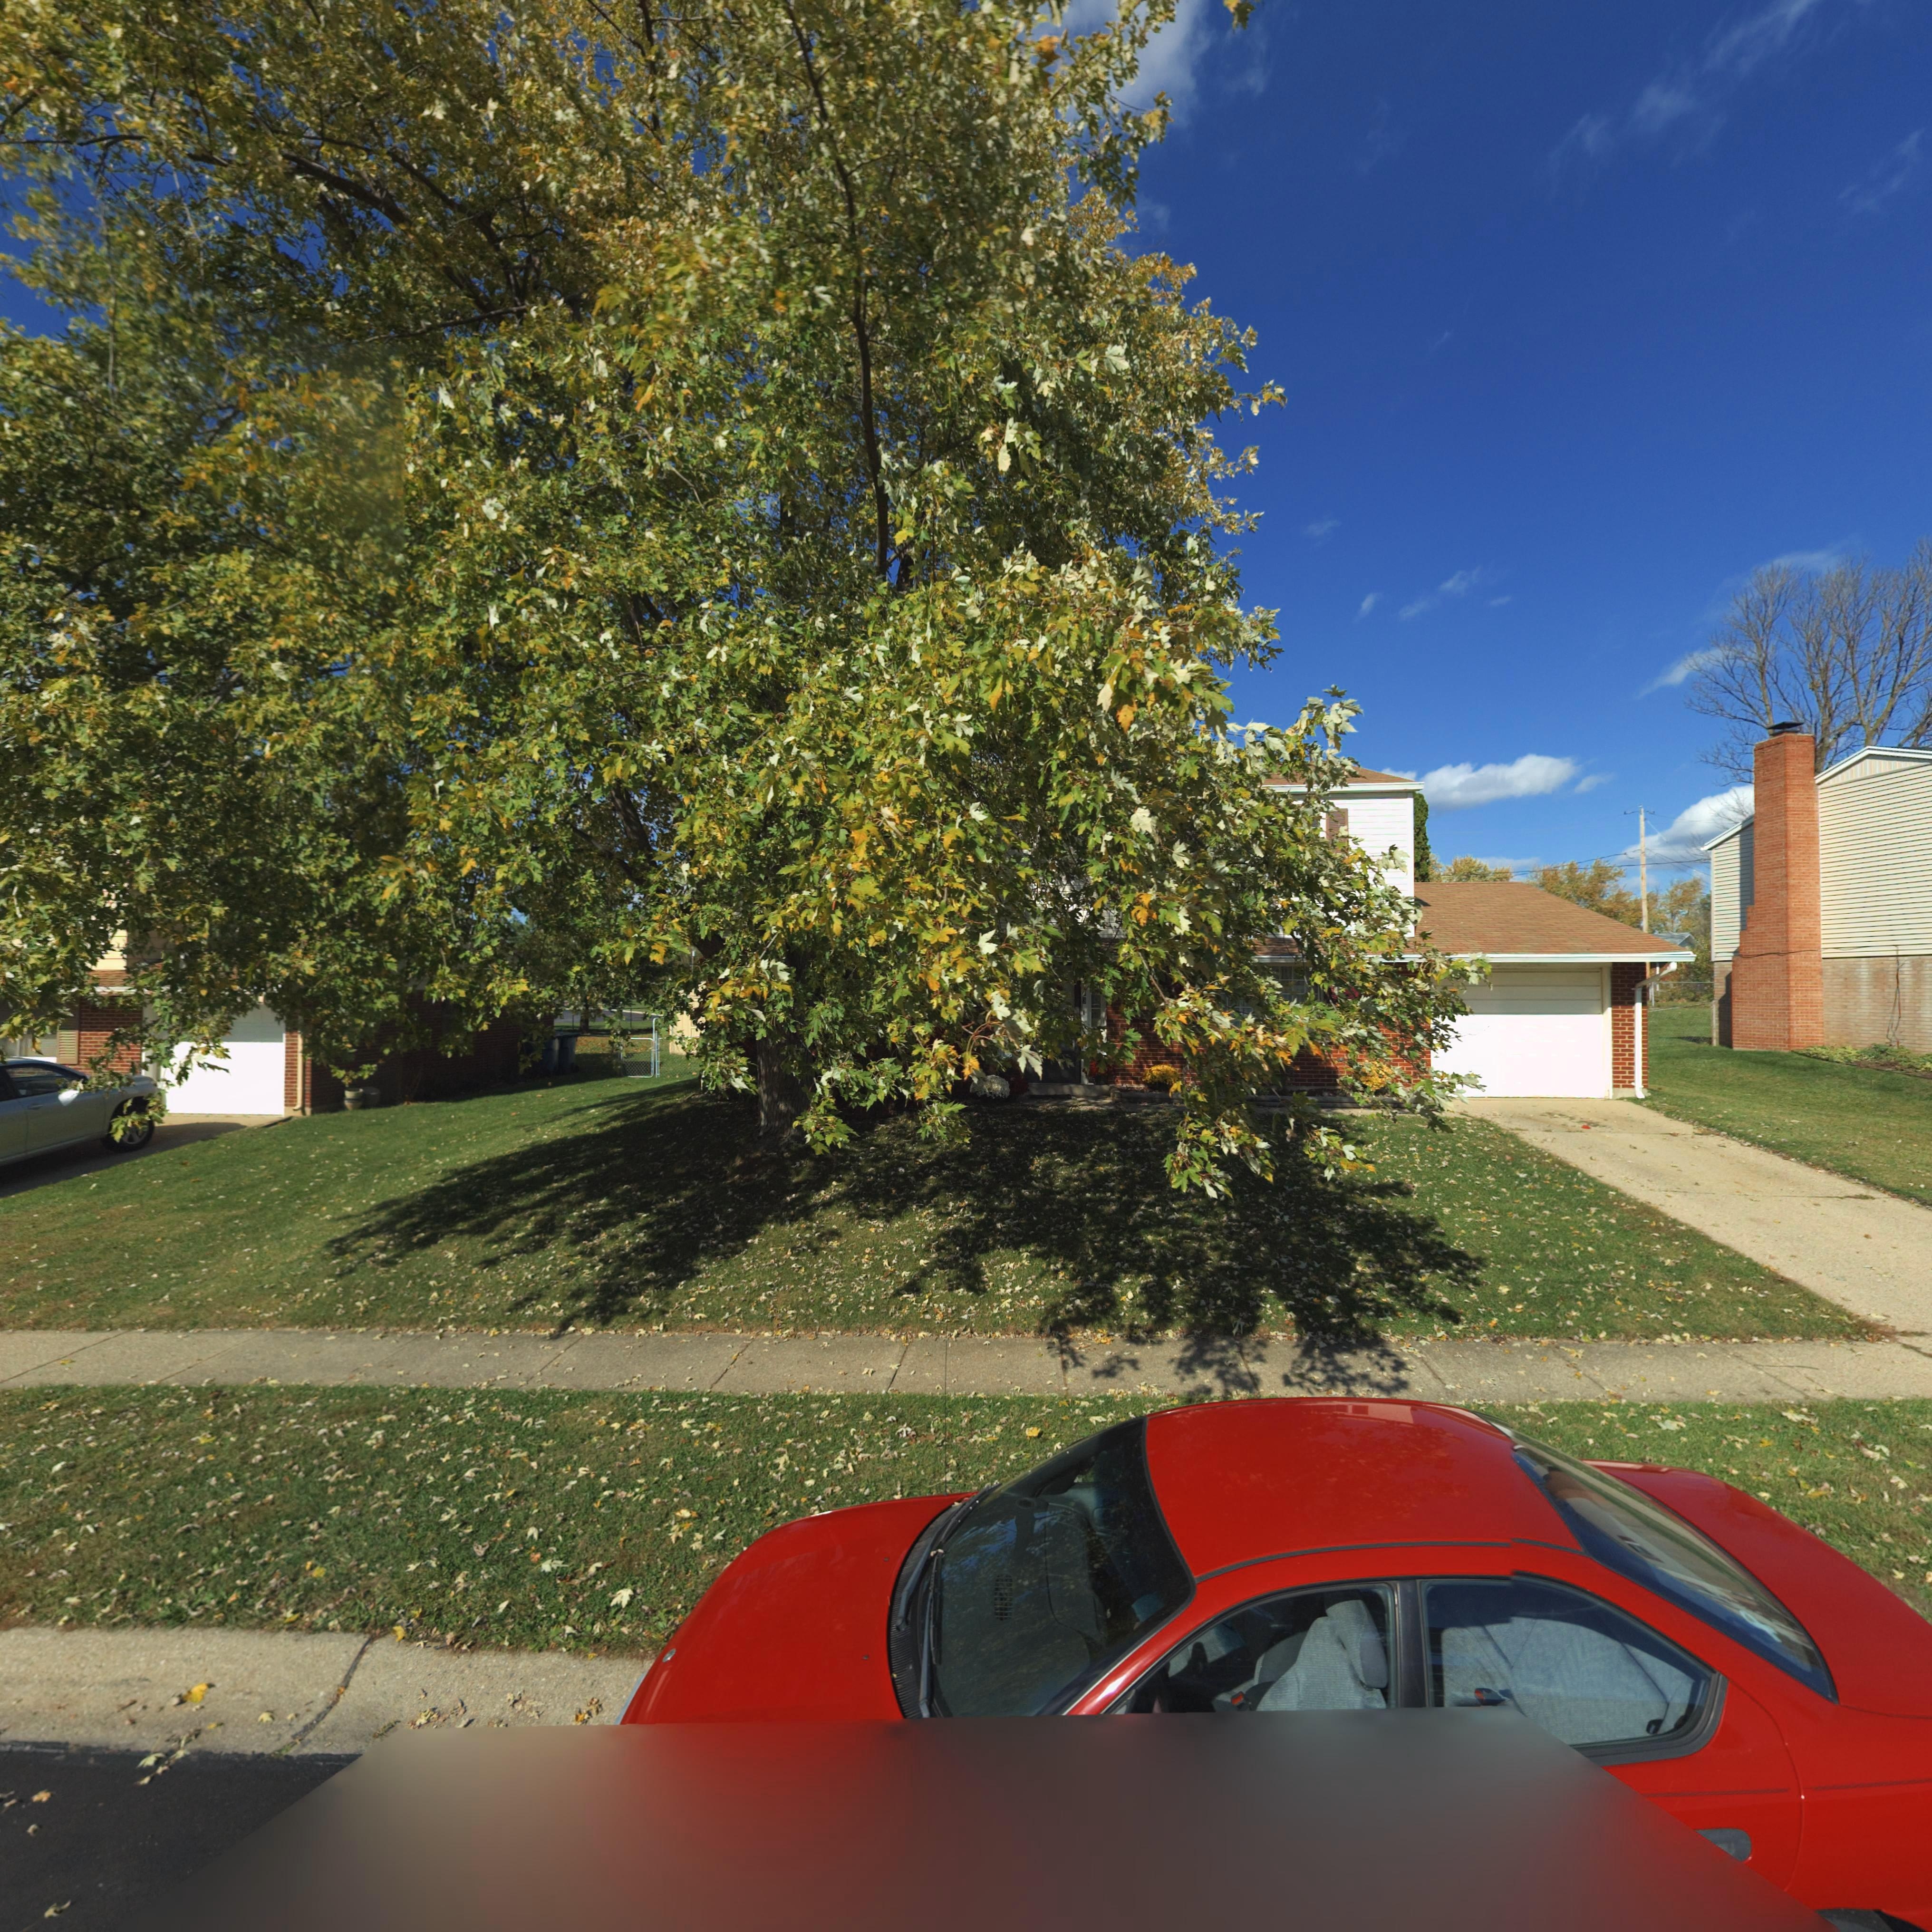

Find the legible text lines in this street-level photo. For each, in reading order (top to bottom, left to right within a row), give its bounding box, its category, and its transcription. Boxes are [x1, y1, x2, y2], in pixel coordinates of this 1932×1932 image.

[1082, 997, 1086, 1004] StreetNumber: 3